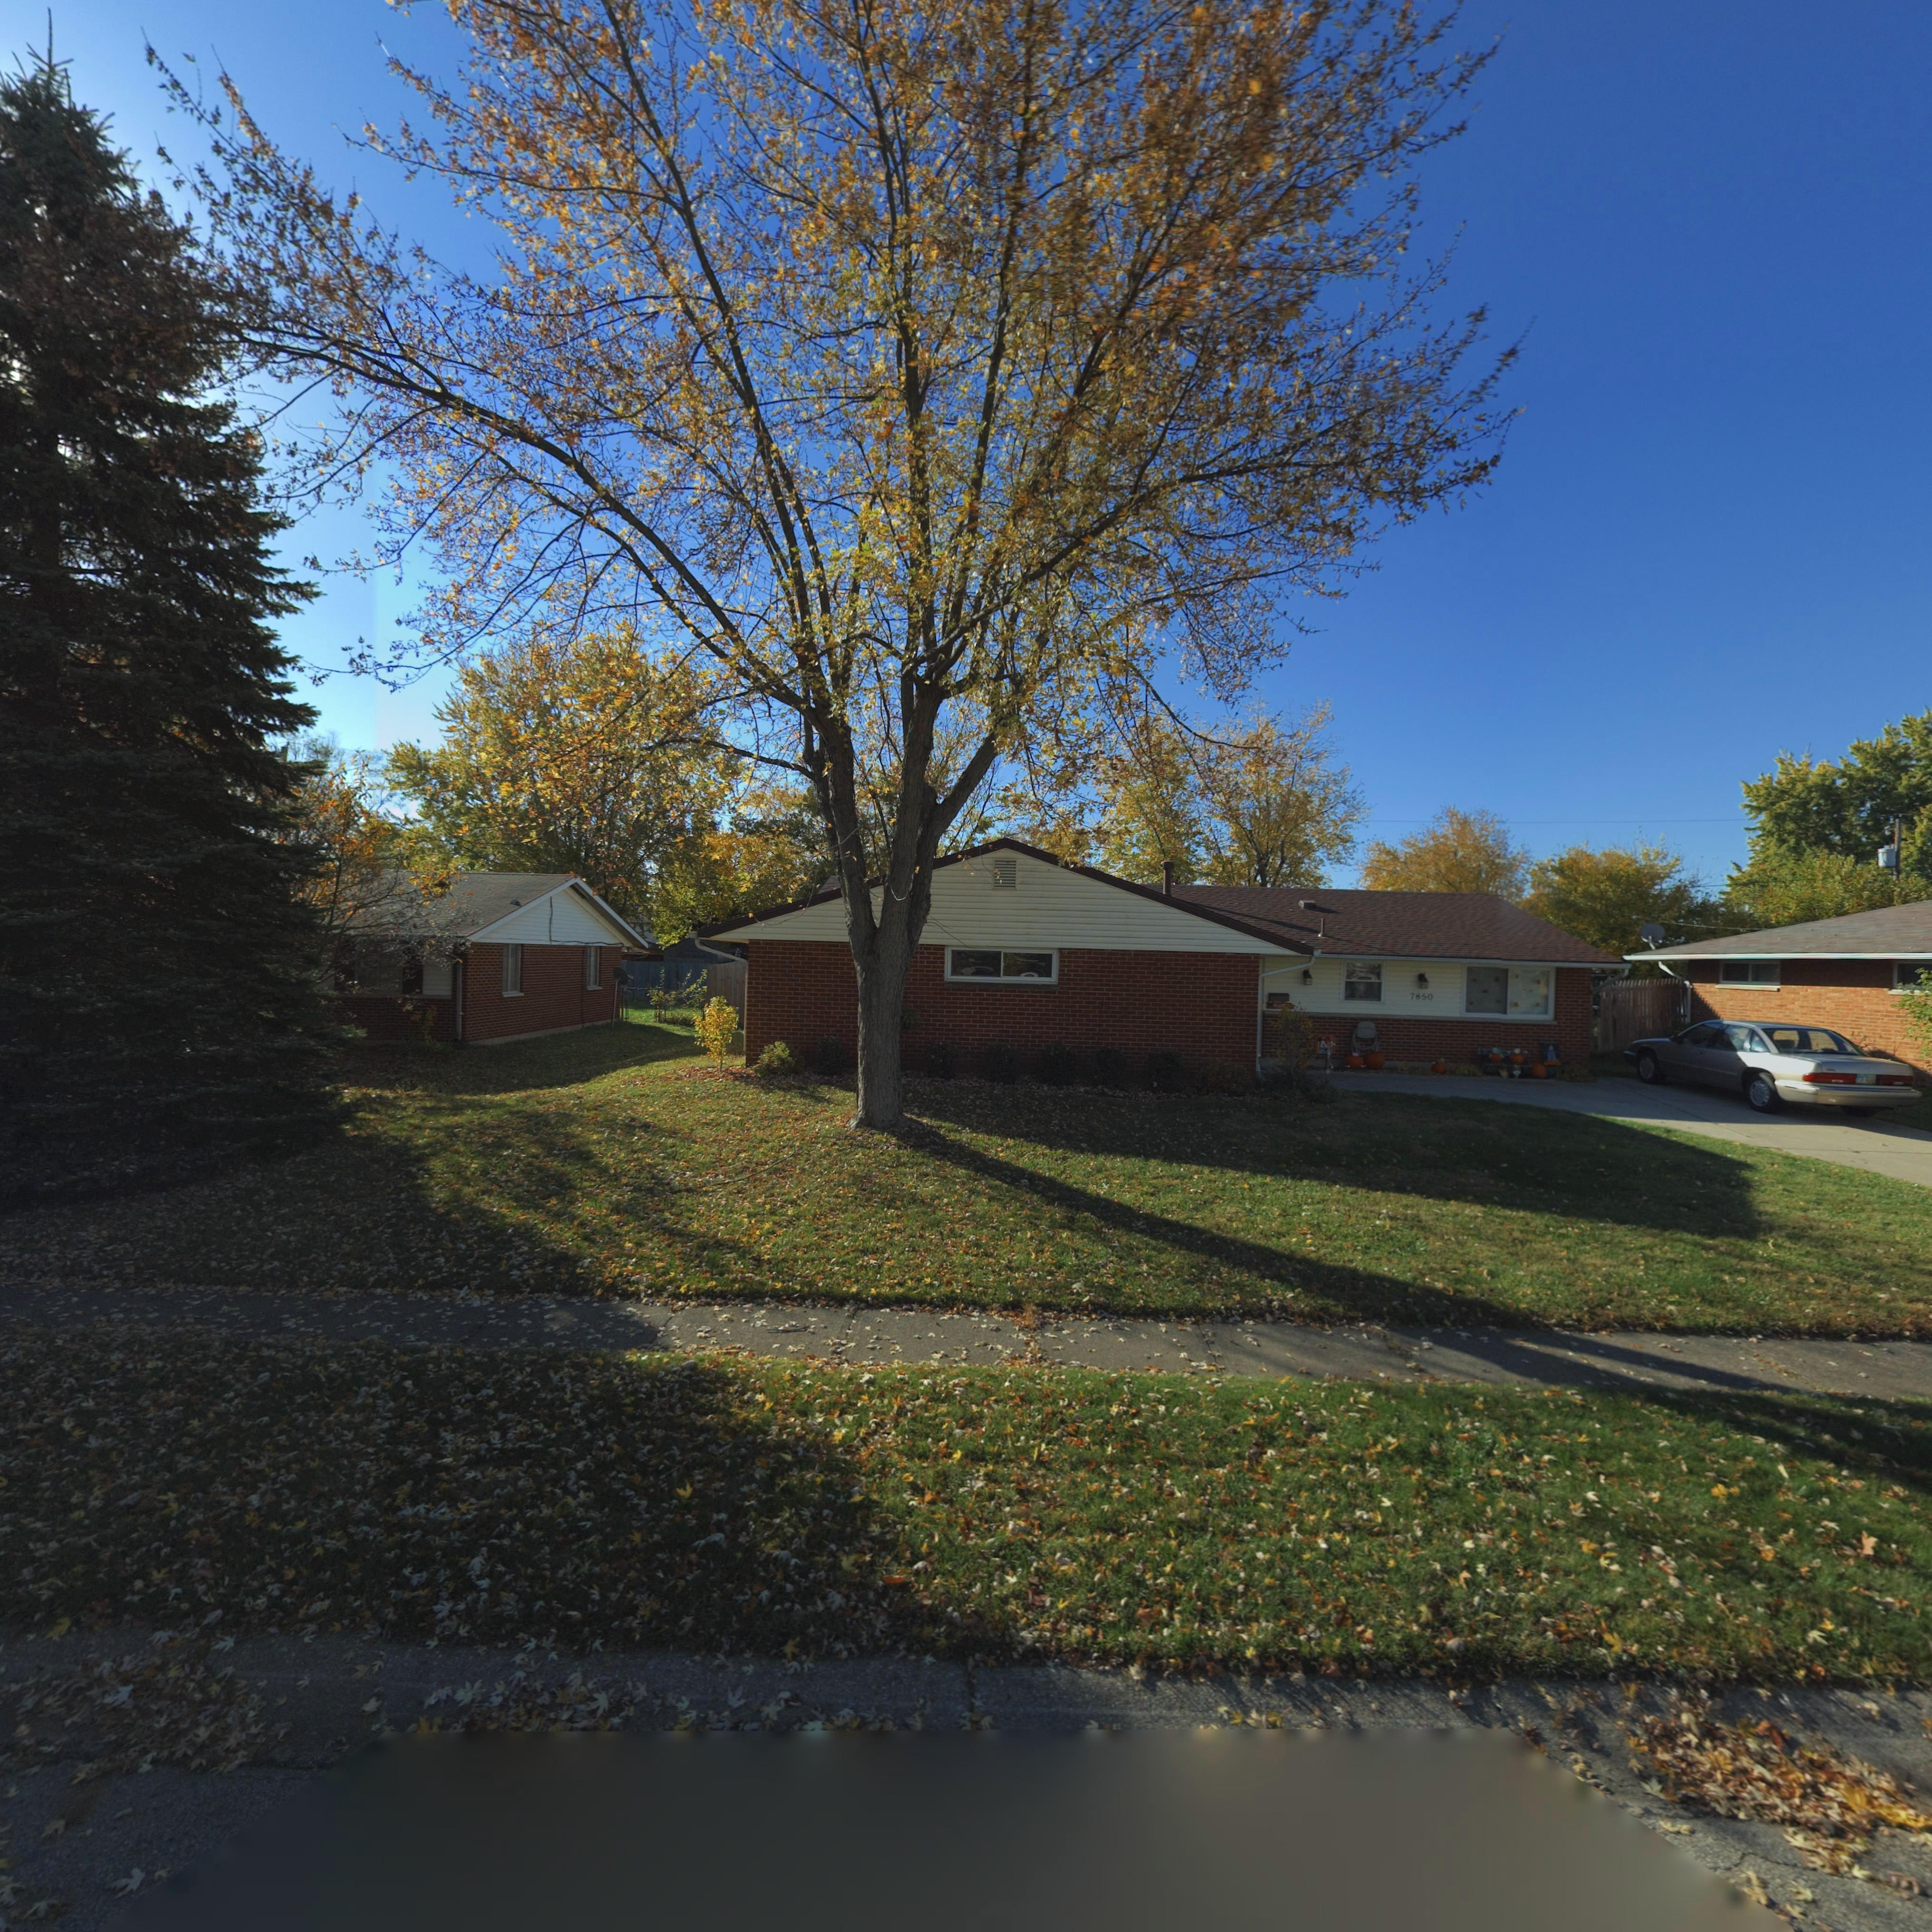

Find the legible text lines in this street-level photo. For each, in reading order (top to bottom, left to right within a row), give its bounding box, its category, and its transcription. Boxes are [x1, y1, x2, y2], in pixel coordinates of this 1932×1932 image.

[1410, 992, 1433, 1001] StreetNumber: 7850